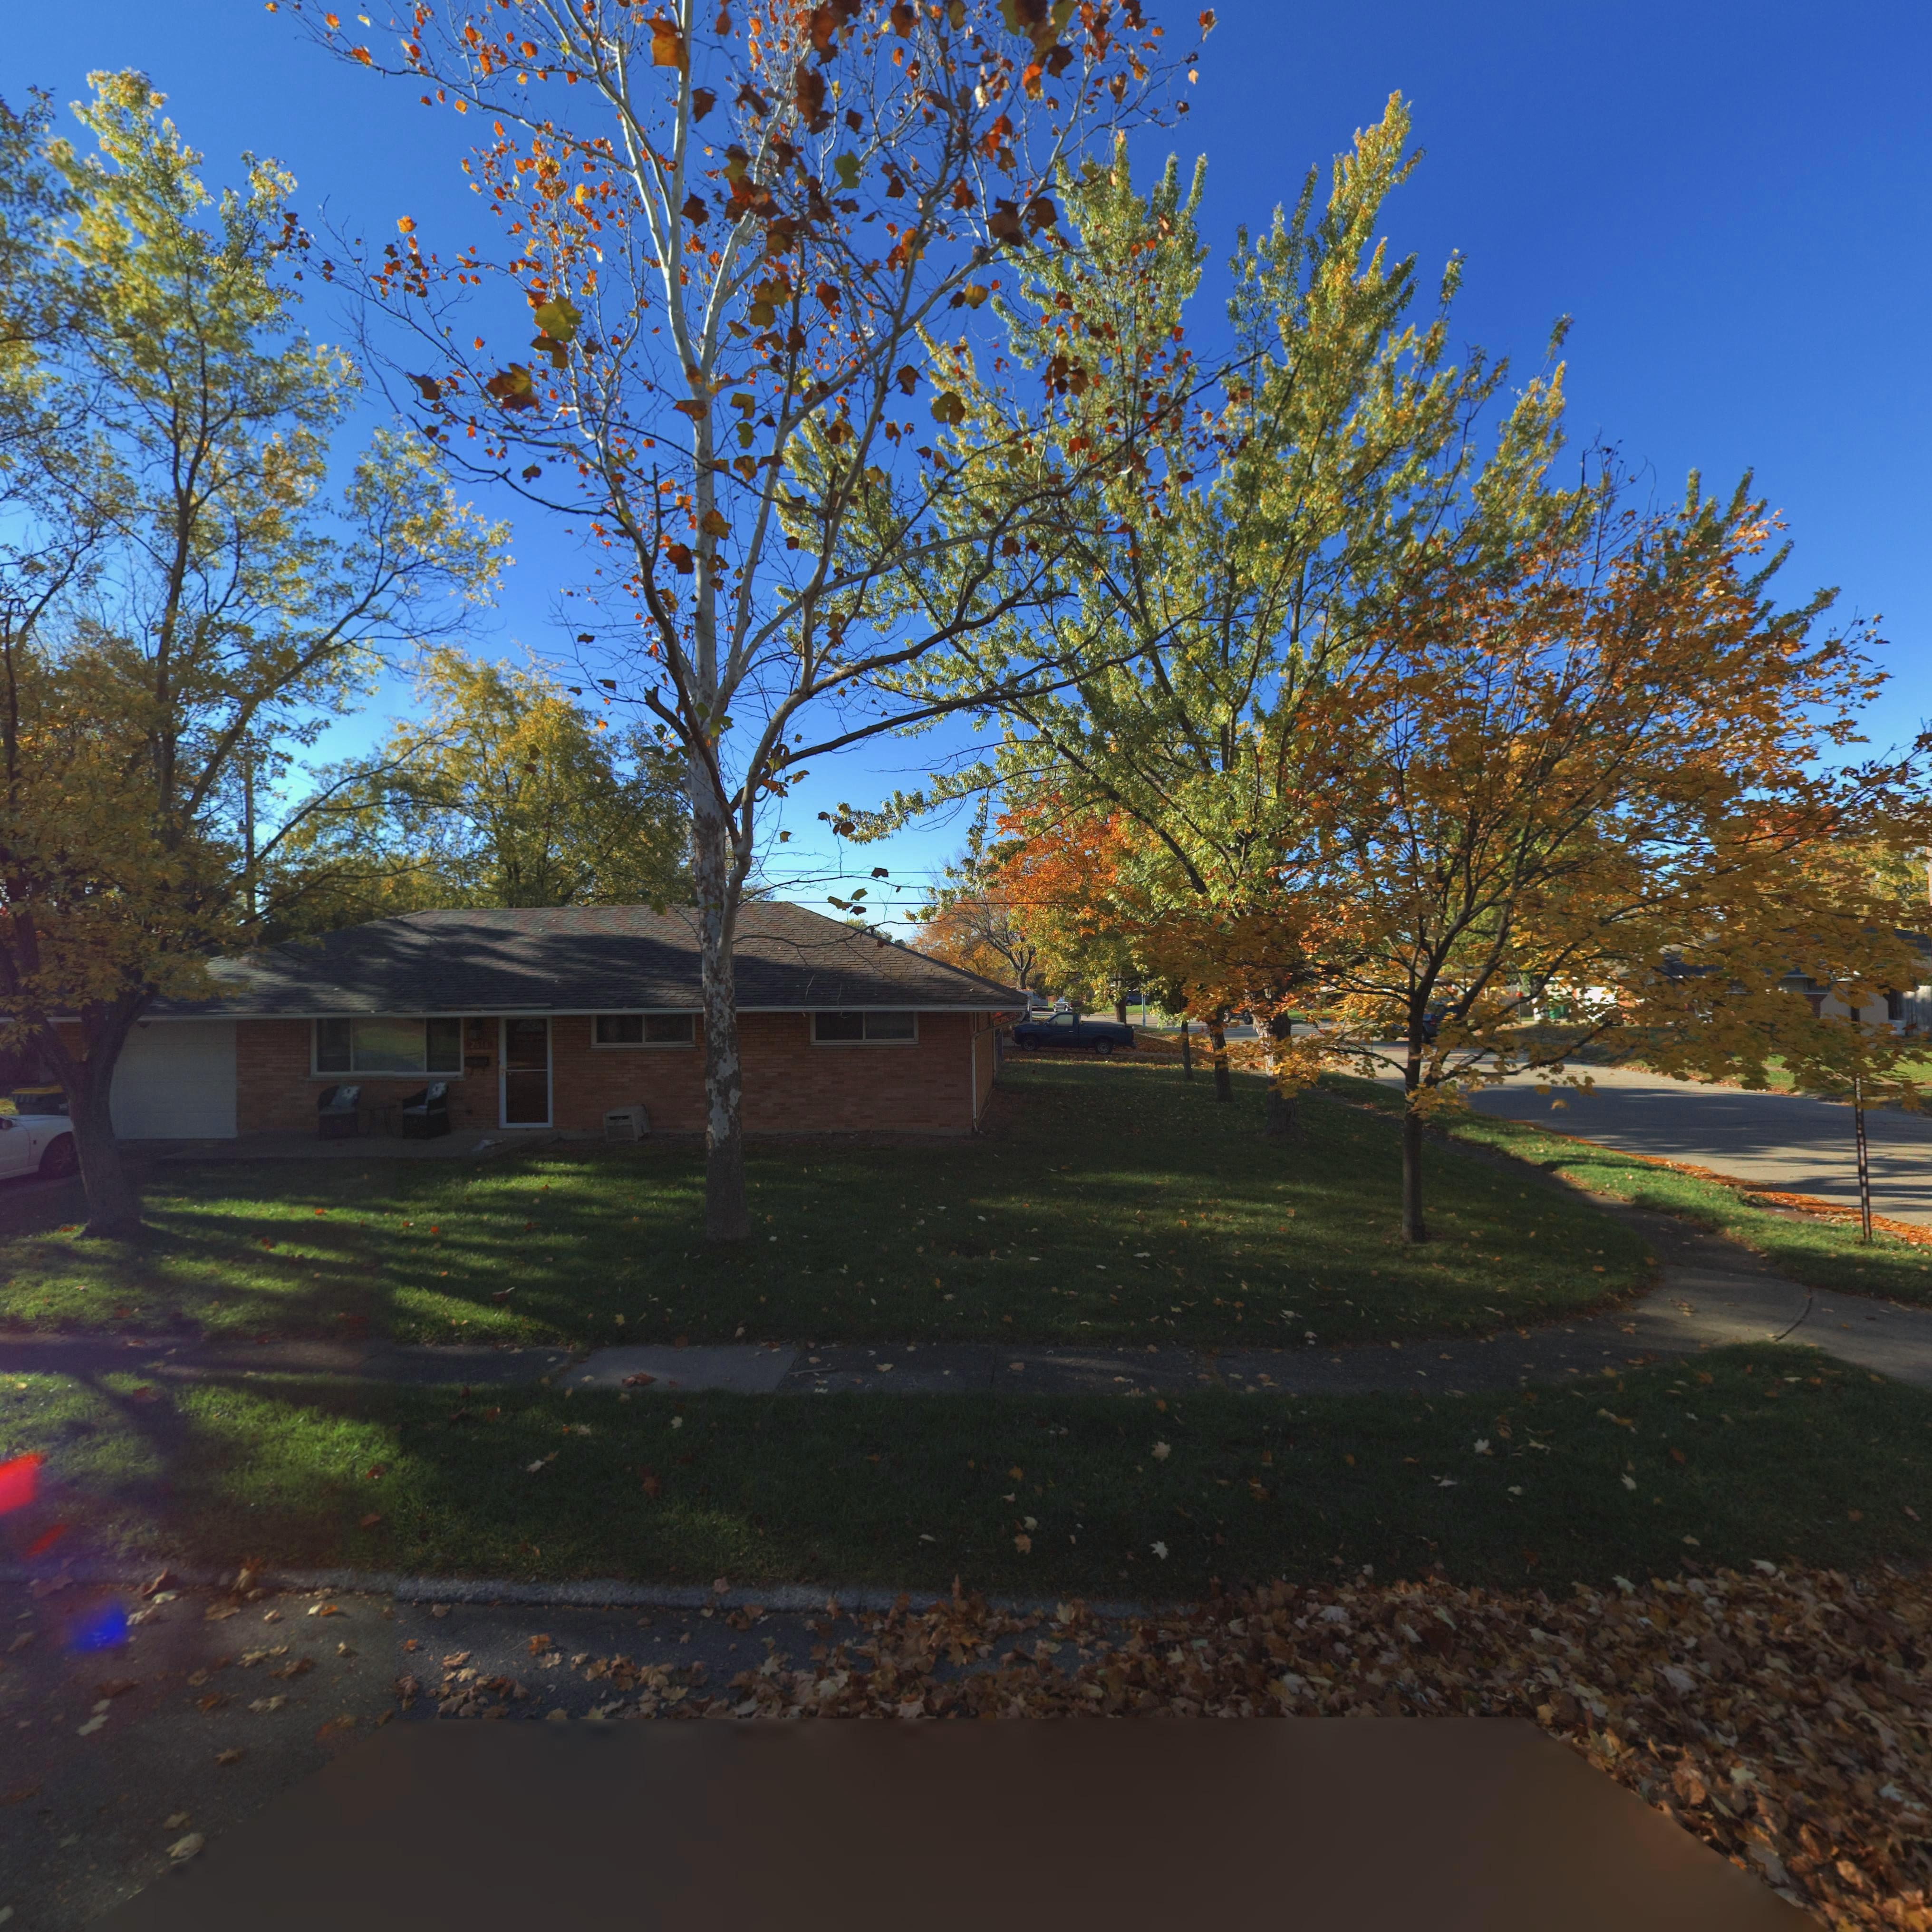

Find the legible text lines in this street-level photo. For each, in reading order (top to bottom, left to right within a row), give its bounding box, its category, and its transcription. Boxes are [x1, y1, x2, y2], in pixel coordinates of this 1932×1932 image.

[469, 1040, 489, 1048] StreetNumber: 2616